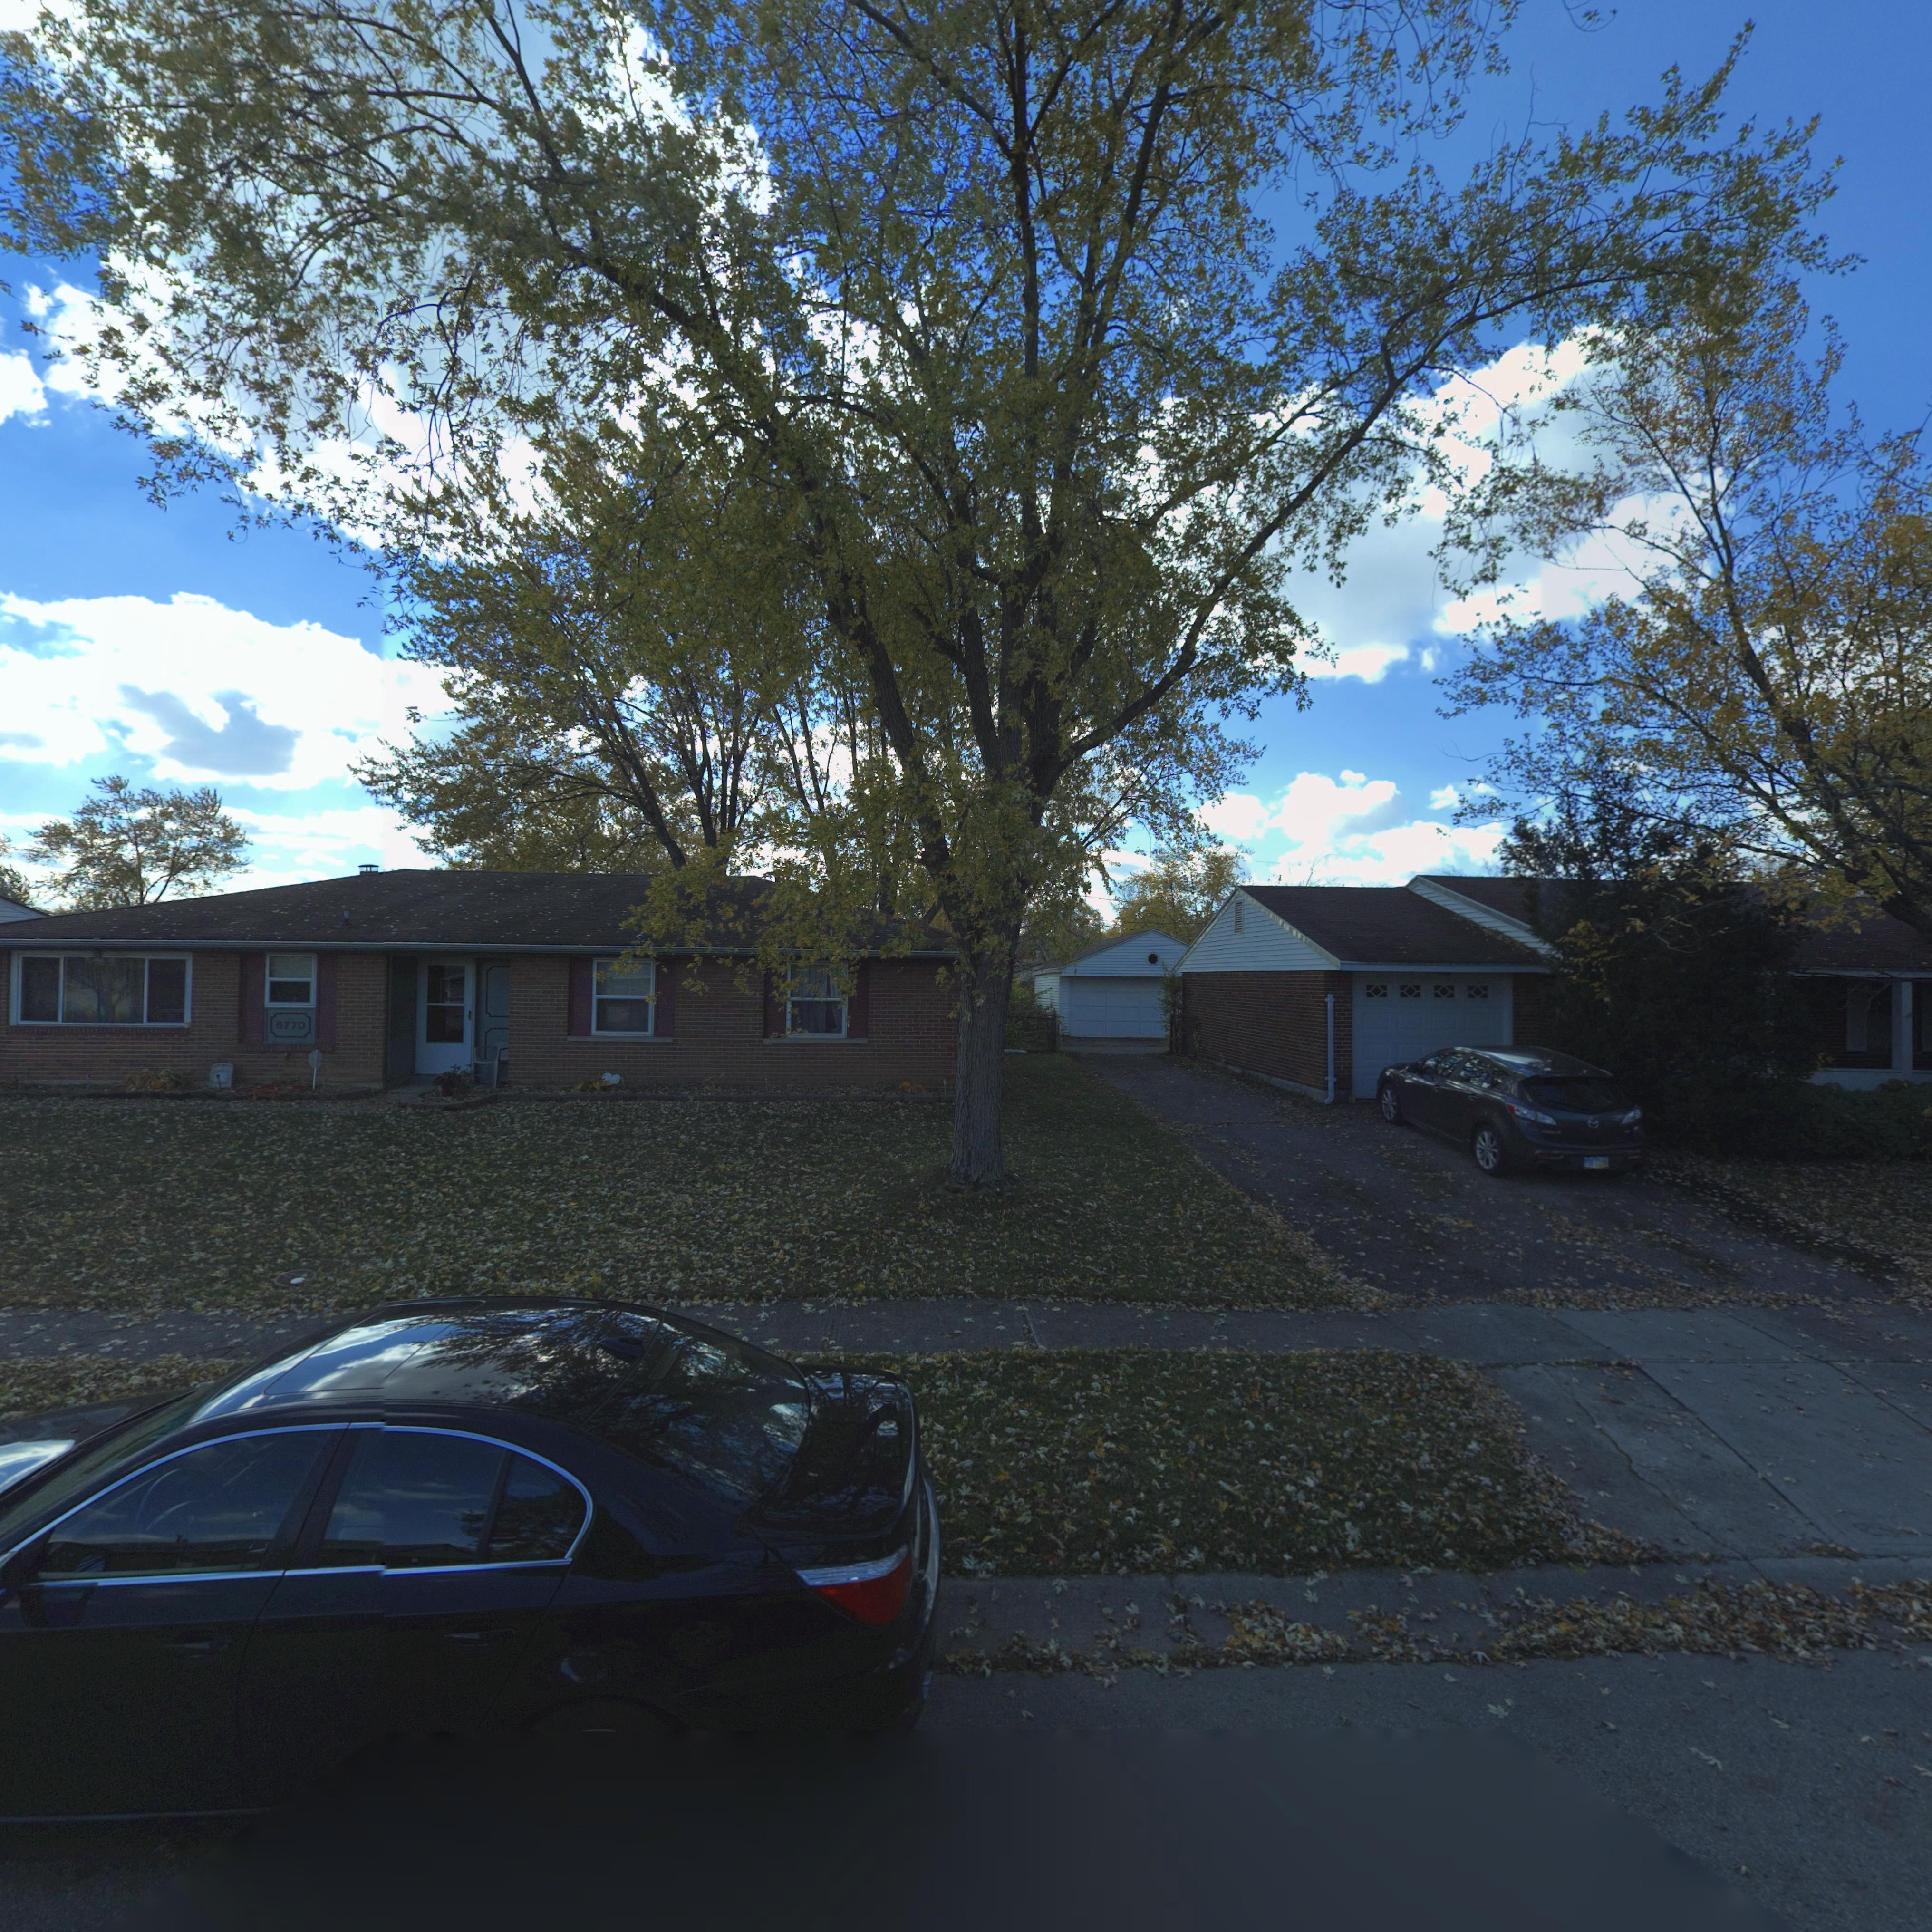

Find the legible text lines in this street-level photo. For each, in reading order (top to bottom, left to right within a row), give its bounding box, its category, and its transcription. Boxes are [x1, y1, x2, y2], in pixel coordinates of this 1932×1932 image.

[275, 1020, 306, 1031] StreetNumber: 6770